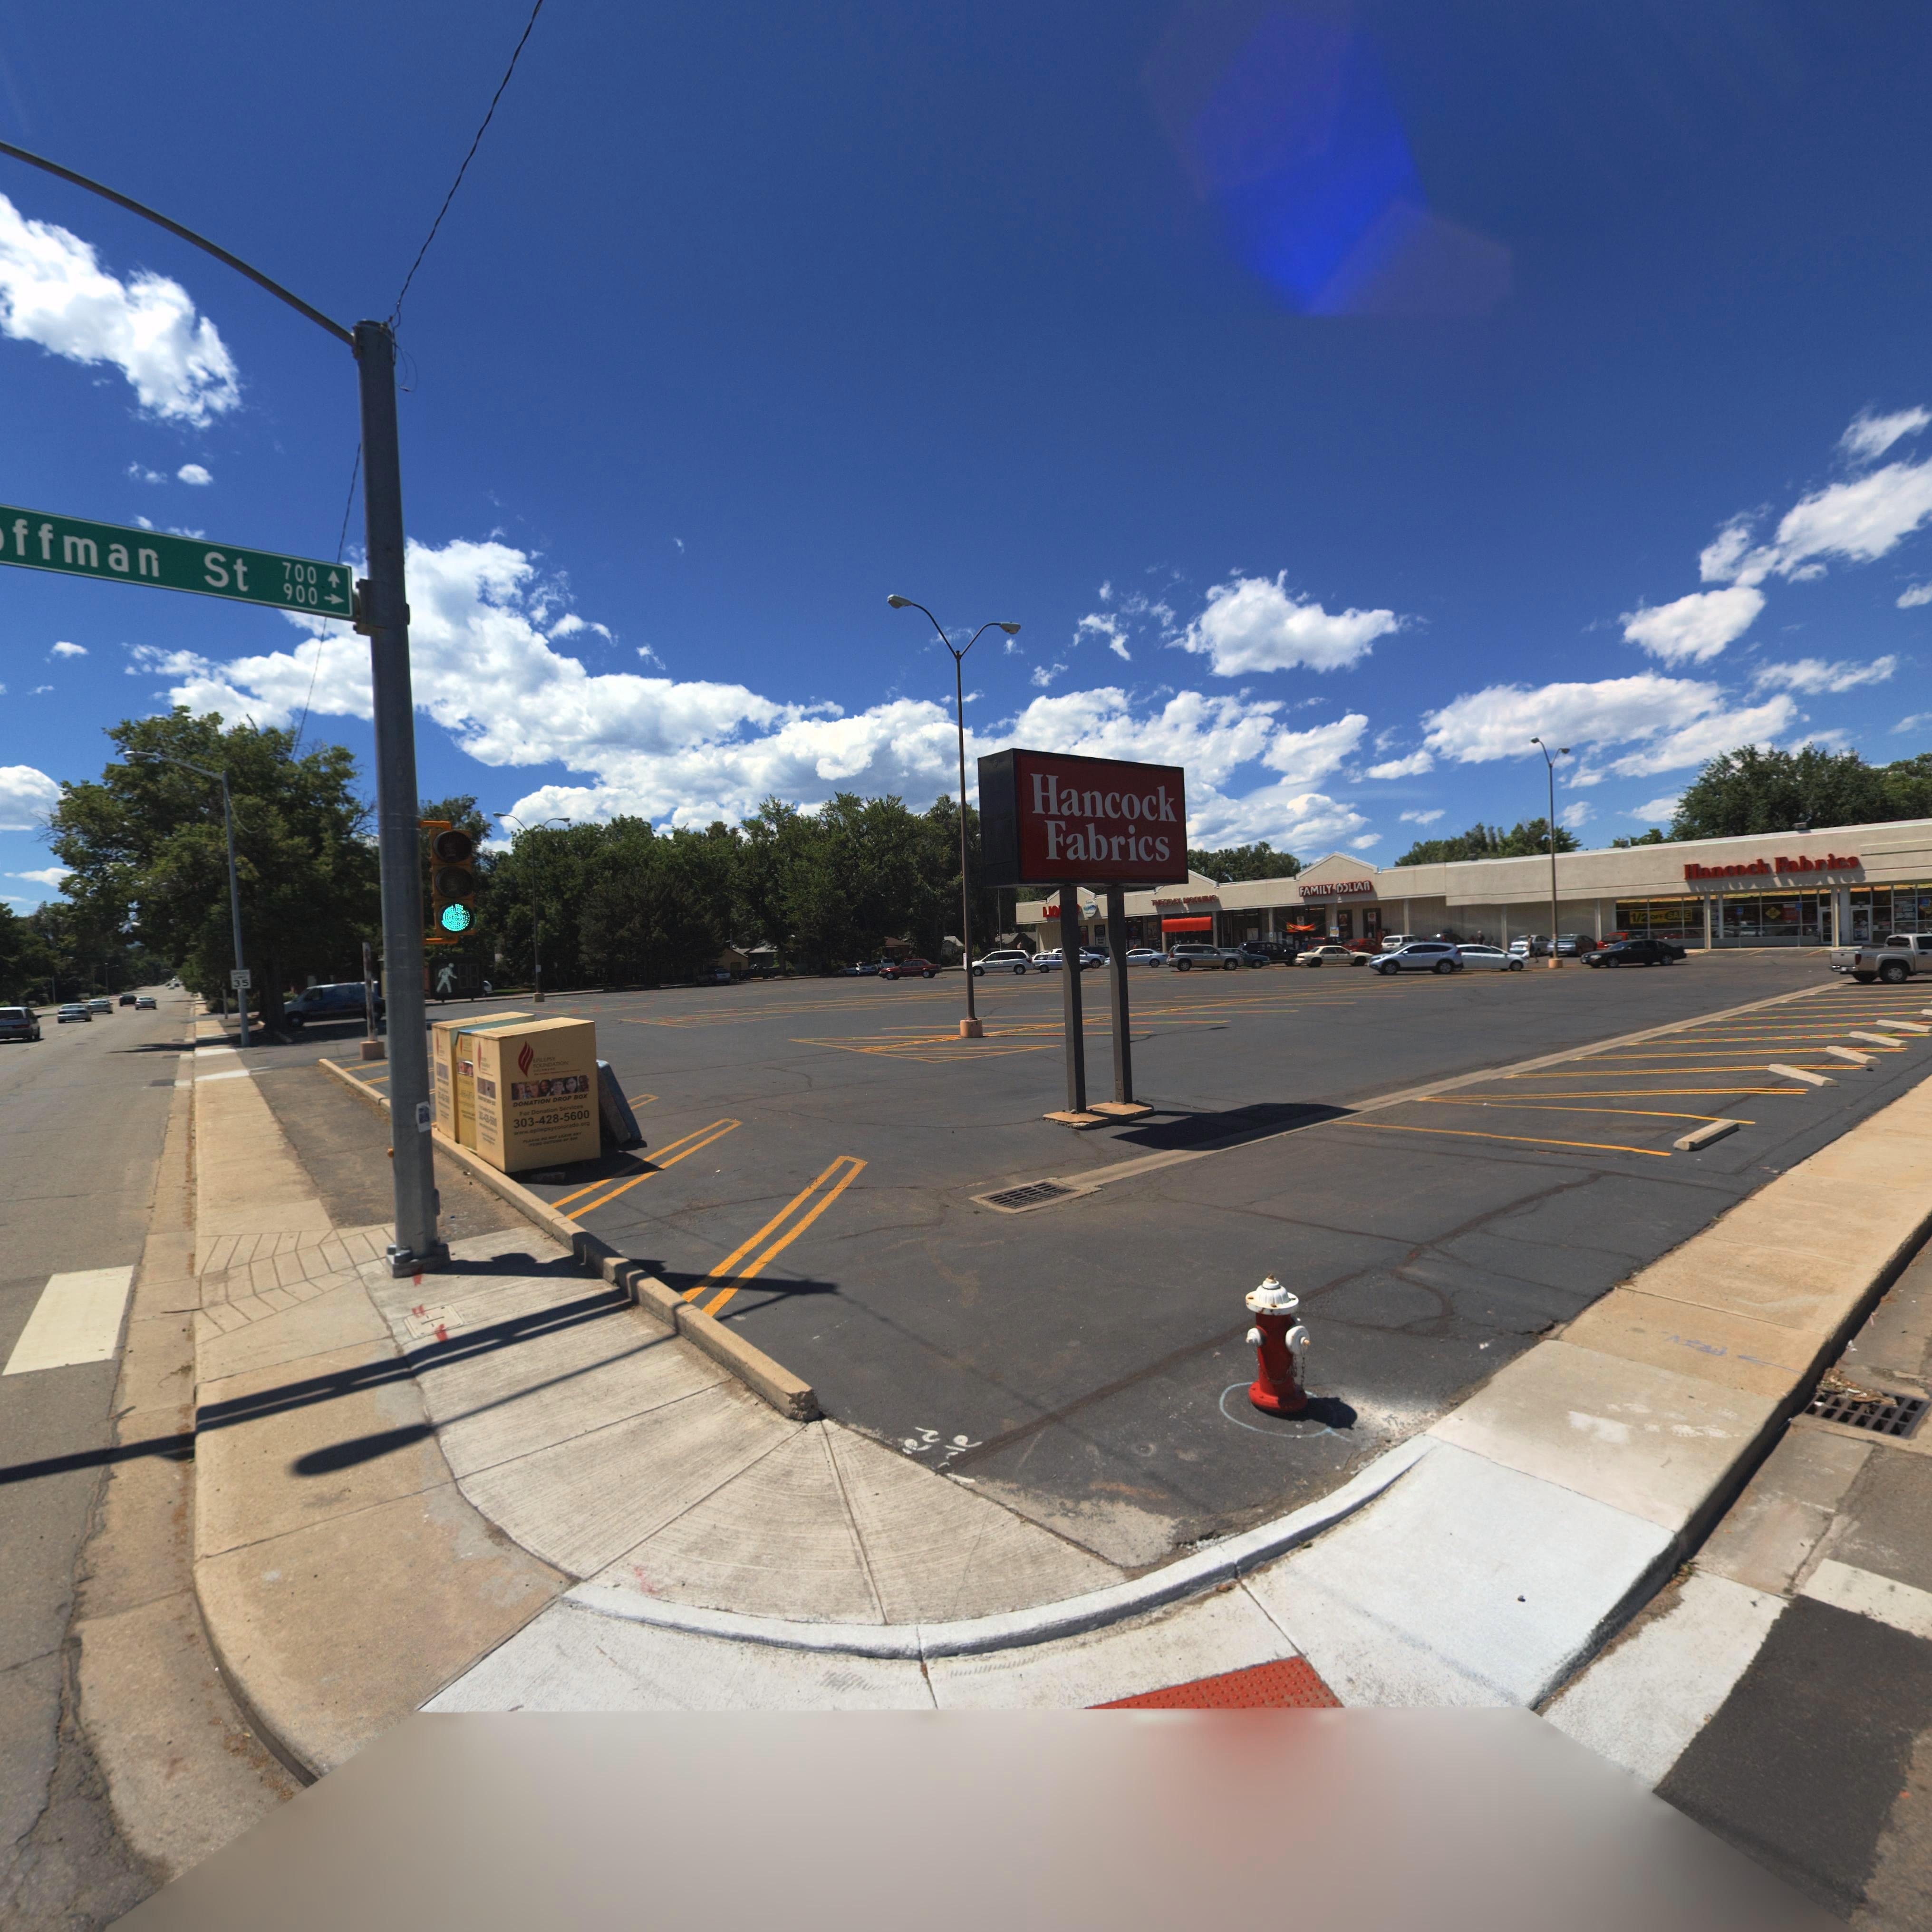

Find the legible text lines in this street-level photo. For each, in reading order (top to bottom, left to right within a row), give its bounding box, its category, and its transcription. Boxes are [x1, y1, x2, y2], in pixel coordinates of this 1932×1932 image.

[11, 517, 249, 592] StreetName: ffman St
[281, 561, 317, 584] StreetNumberRange: 700
[282, 582, 345, 605] StreetNumberRange: 900 ->
[1029, 773, 1178, 822] BusinessName: Hancock
[1043, 820, 1170, 862] BusinessName: Fabrics
[1683, 853, 1858, 880] BusinessName: Hancock Fabrics
[1150, 894, 1217, 906] BusinessName: TUESDAY MORNING
[1299, 880, 1371, 897] BusinessName: FAMILY D*LLAR